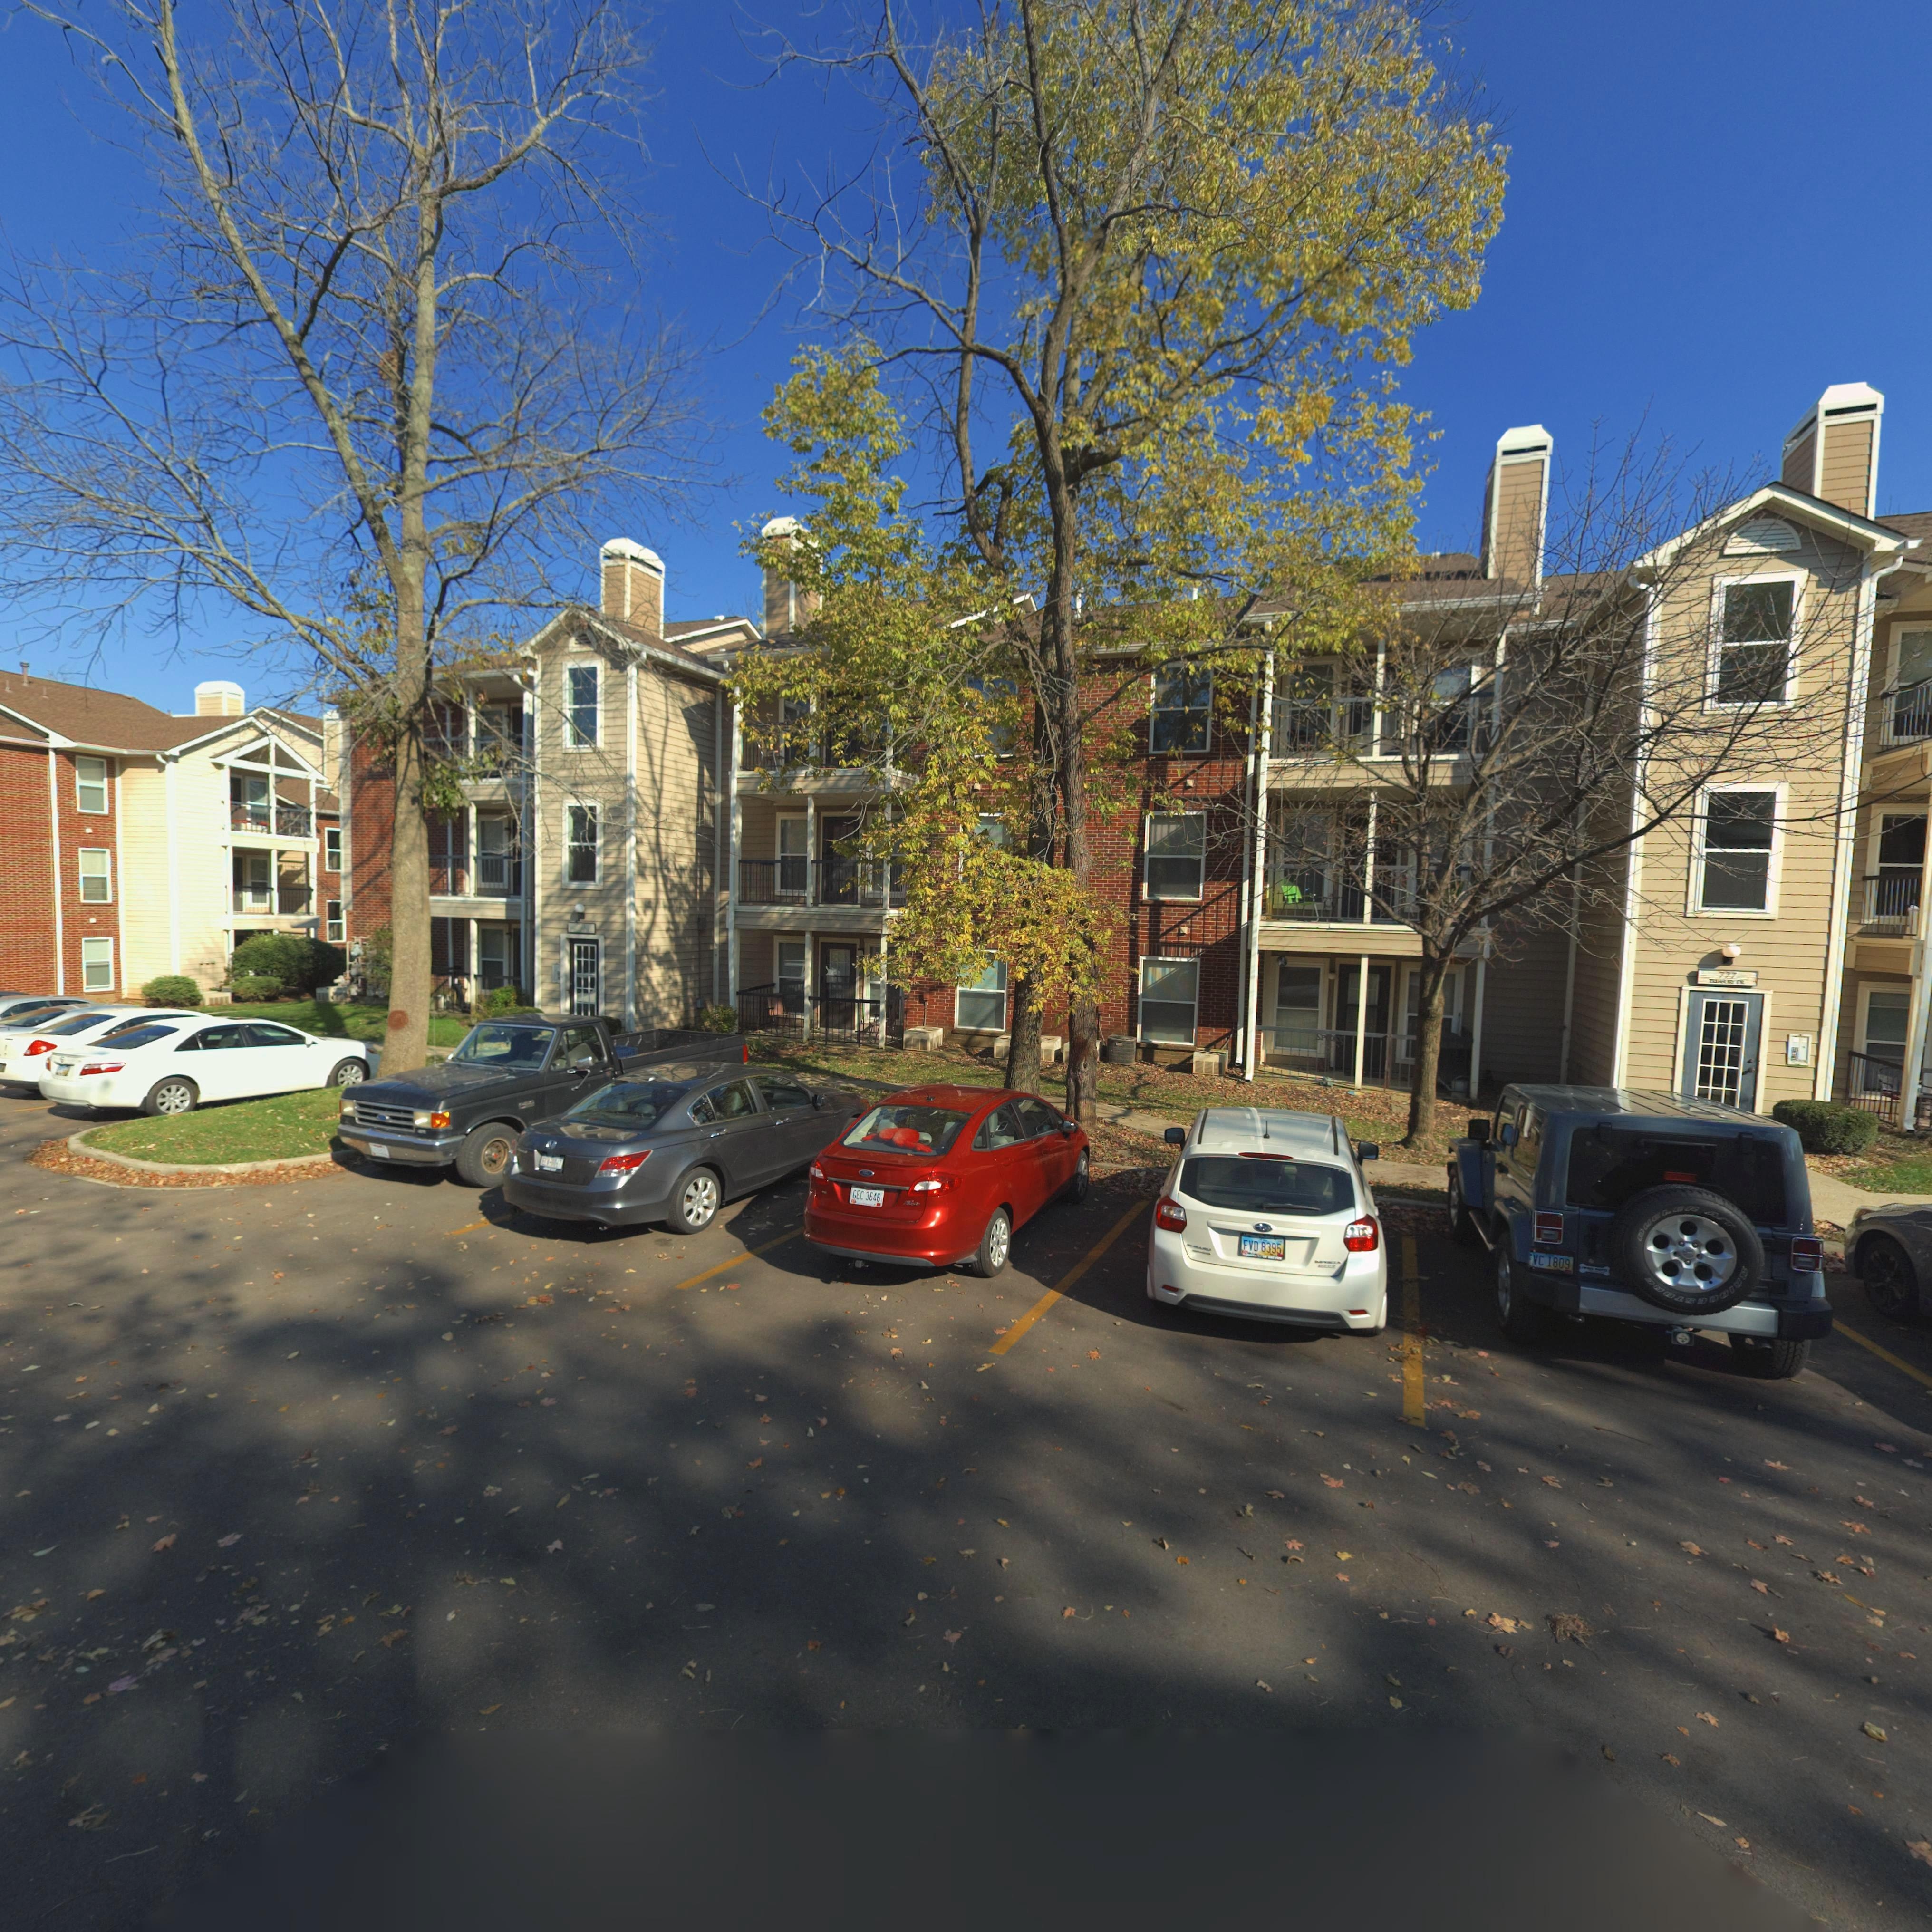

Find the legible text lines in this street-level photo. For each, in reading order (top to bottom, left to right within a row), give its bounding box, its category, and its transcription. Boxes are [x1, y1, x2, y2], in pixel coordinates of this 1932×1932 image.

[1718, 971, 1738, 980] StreetNumber: 7*7
[851, 1189, 881, 1203] None: GEC 3646
[1634, 1204, 1738, 1244] None: DU*L** ***
[1243, 1239, 1282, 1256] None: FVD 8395
[1532, 1254, 1572, 1271] None: VC 1809